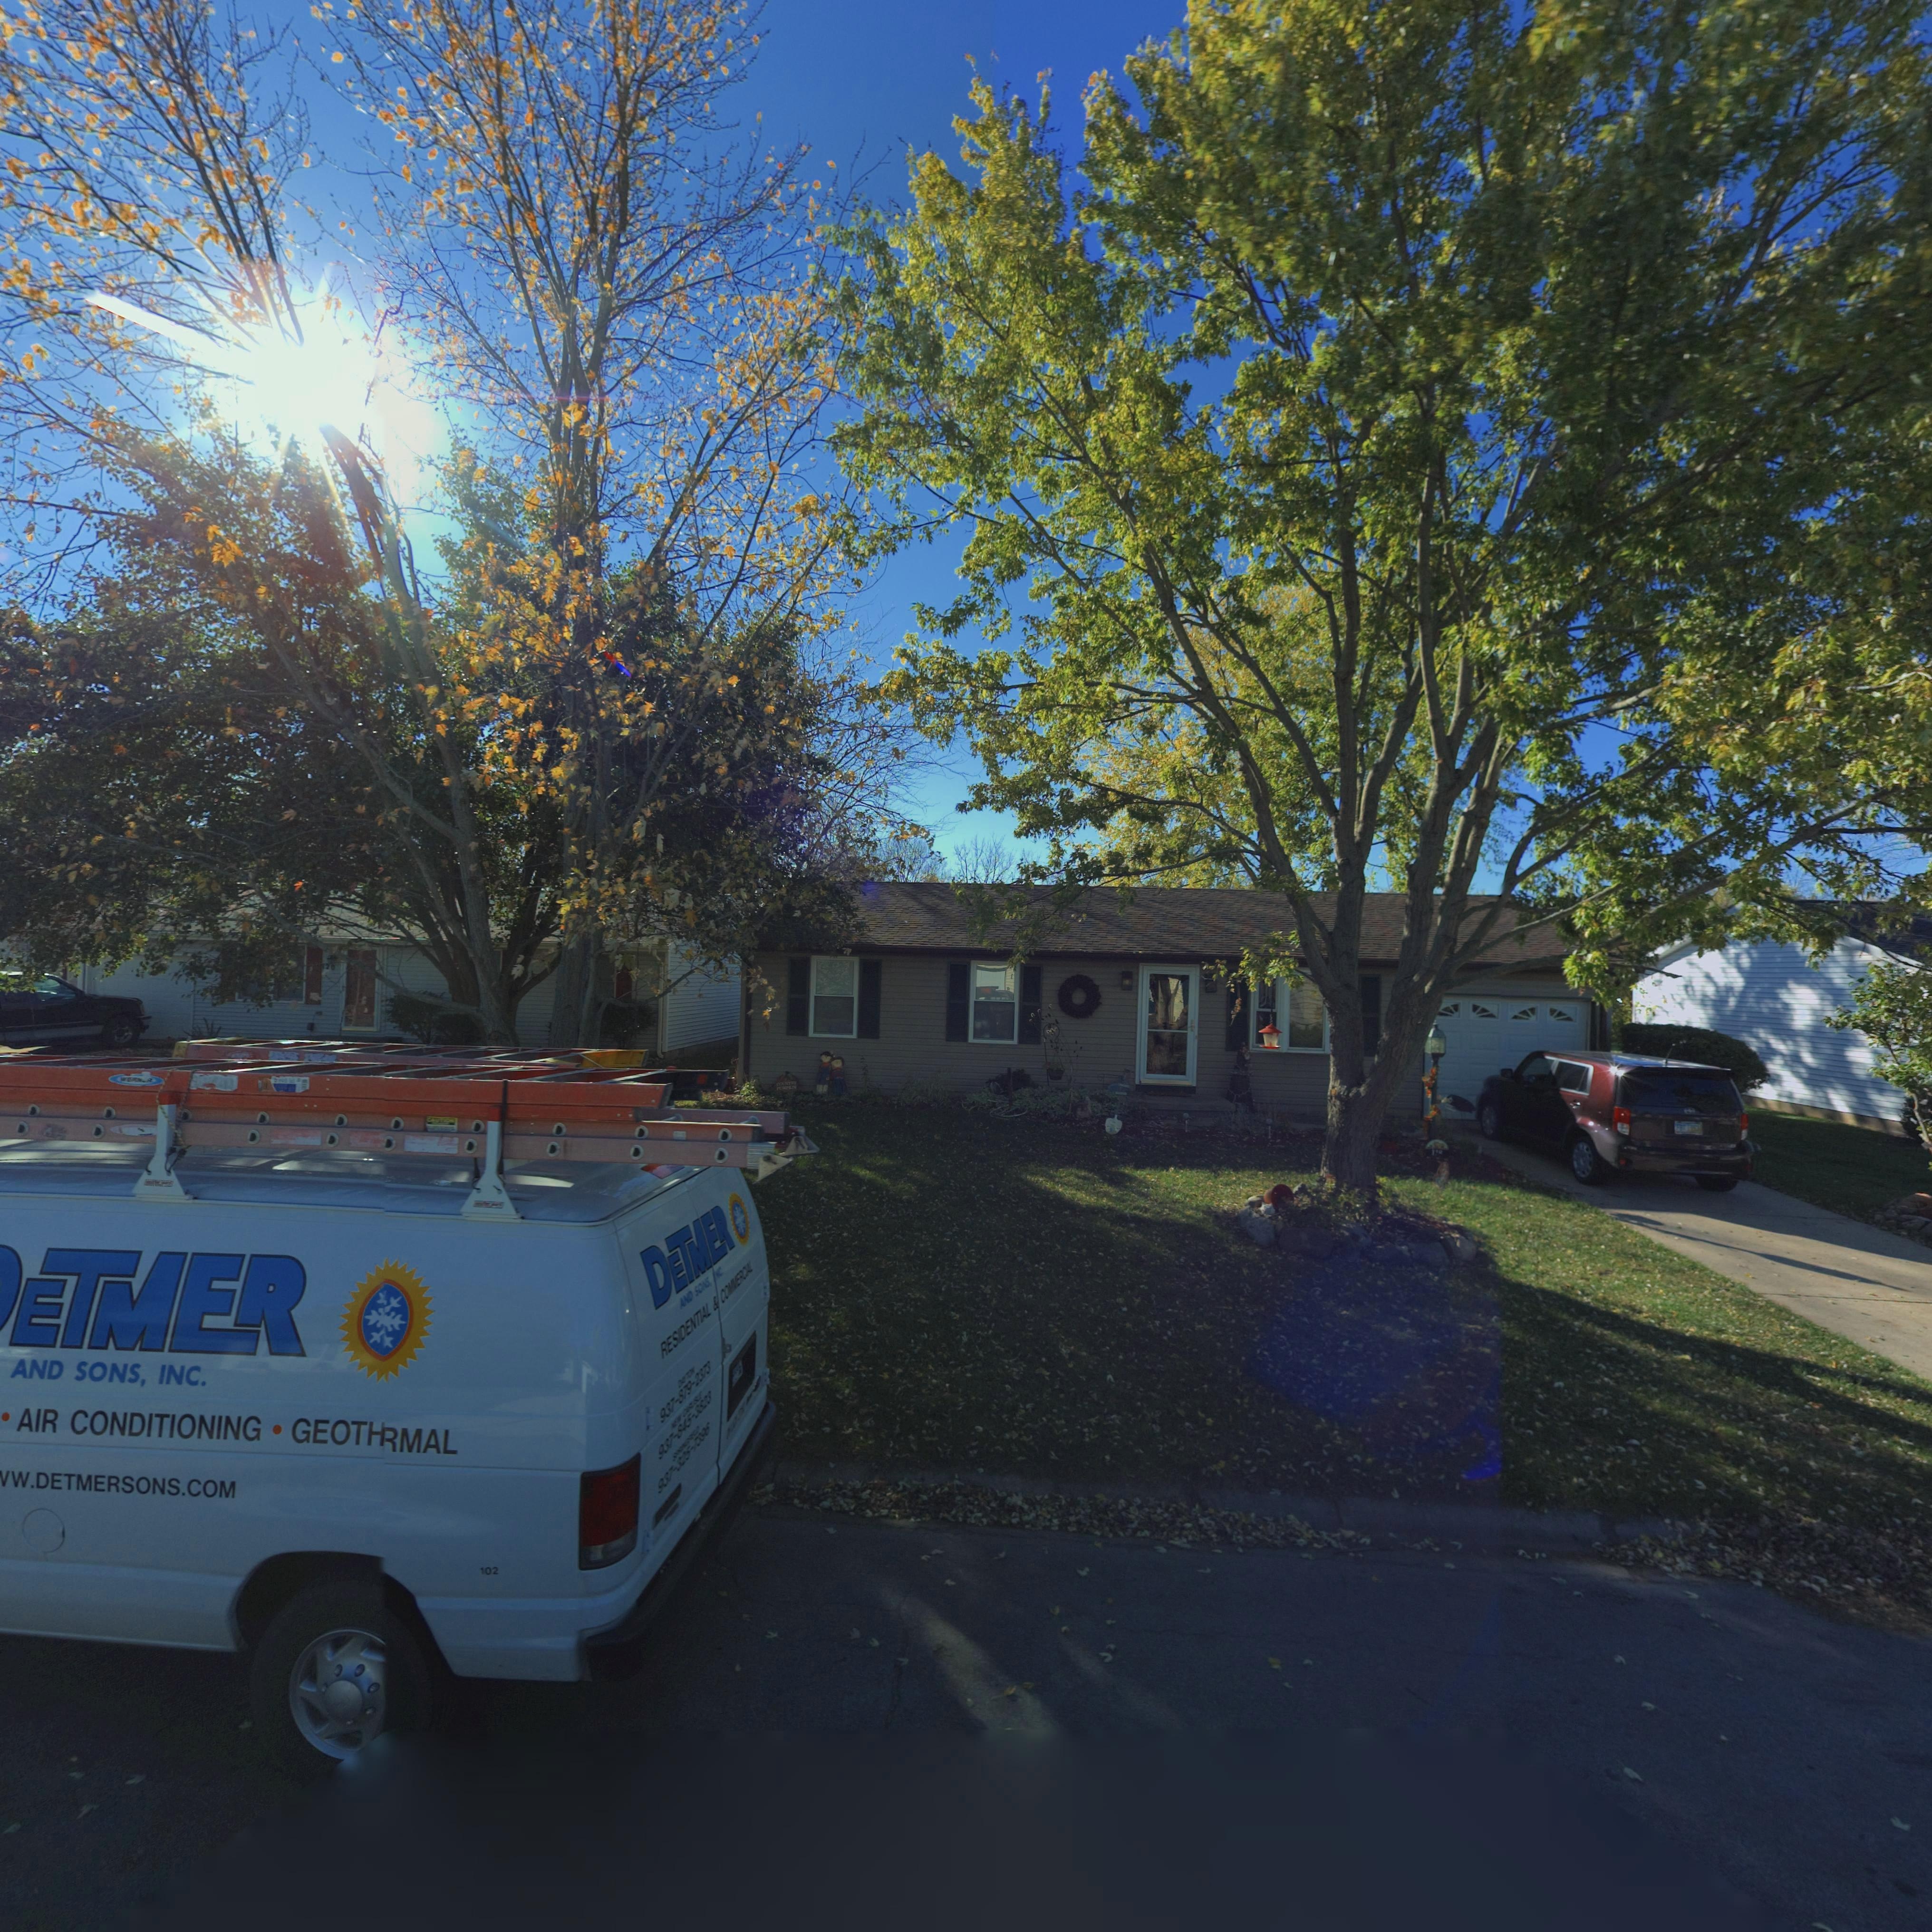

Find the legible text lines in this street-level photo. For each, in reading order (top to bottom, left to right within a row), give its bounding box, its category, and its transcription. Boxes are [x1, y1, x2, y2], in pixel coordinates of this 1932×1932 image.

[1430, 1149, 1436, 1156] StreetNumber: 1